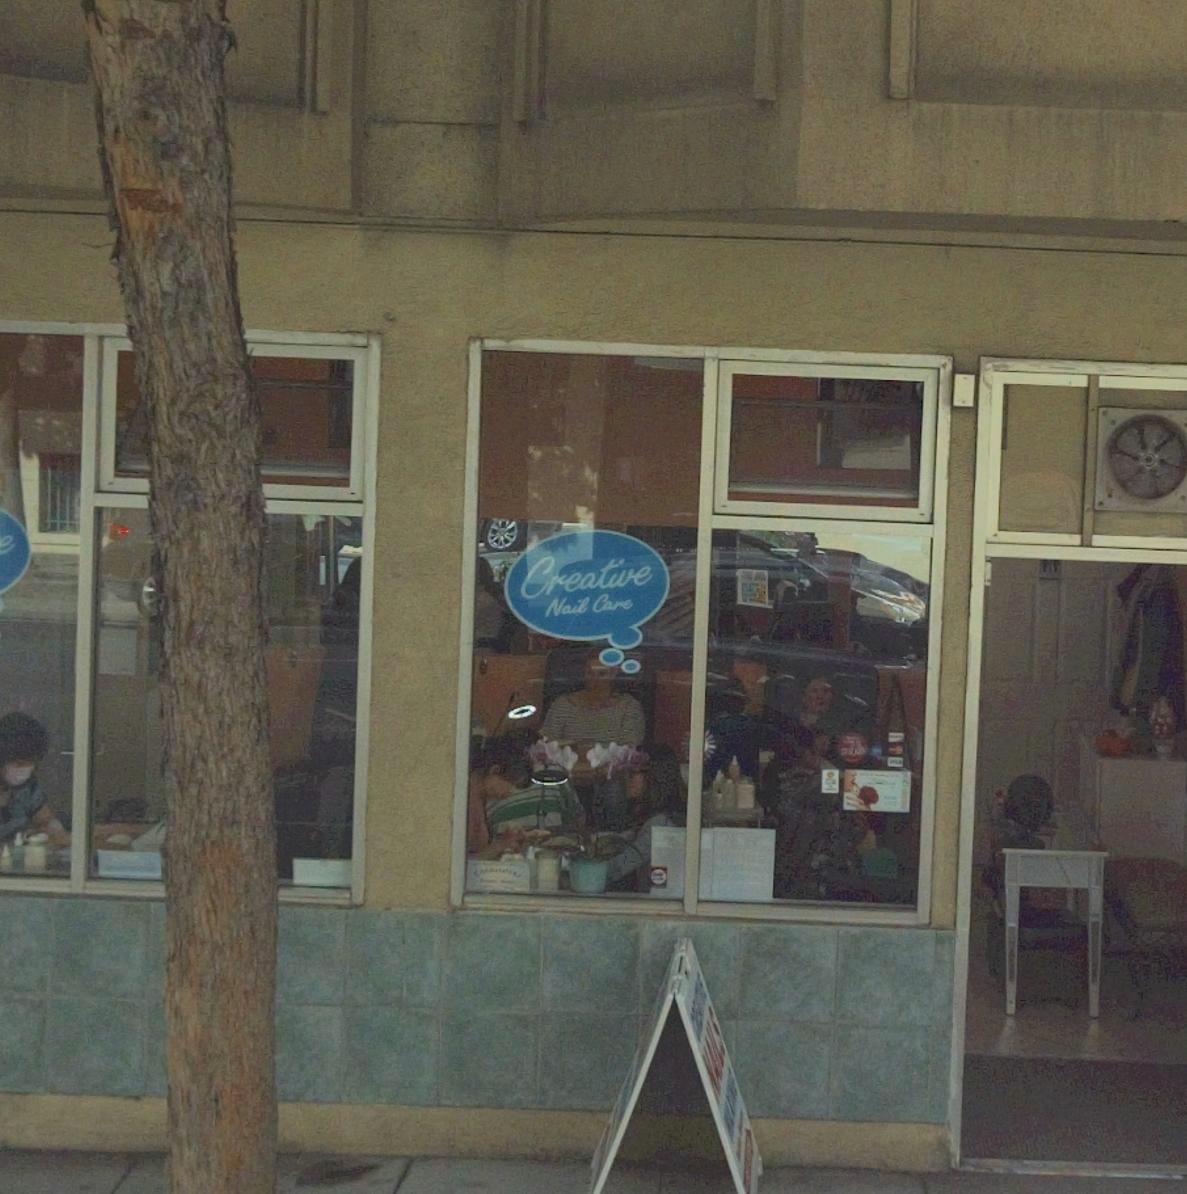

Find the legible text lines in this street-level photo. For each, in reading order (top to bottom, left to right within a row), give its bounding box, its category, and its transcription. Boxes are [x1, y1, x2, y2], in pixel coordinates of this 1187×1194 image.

[518, 552, 656, 602] BusinessName: Creative
[541, 590, 637, 622] BusinessName: Nail Care